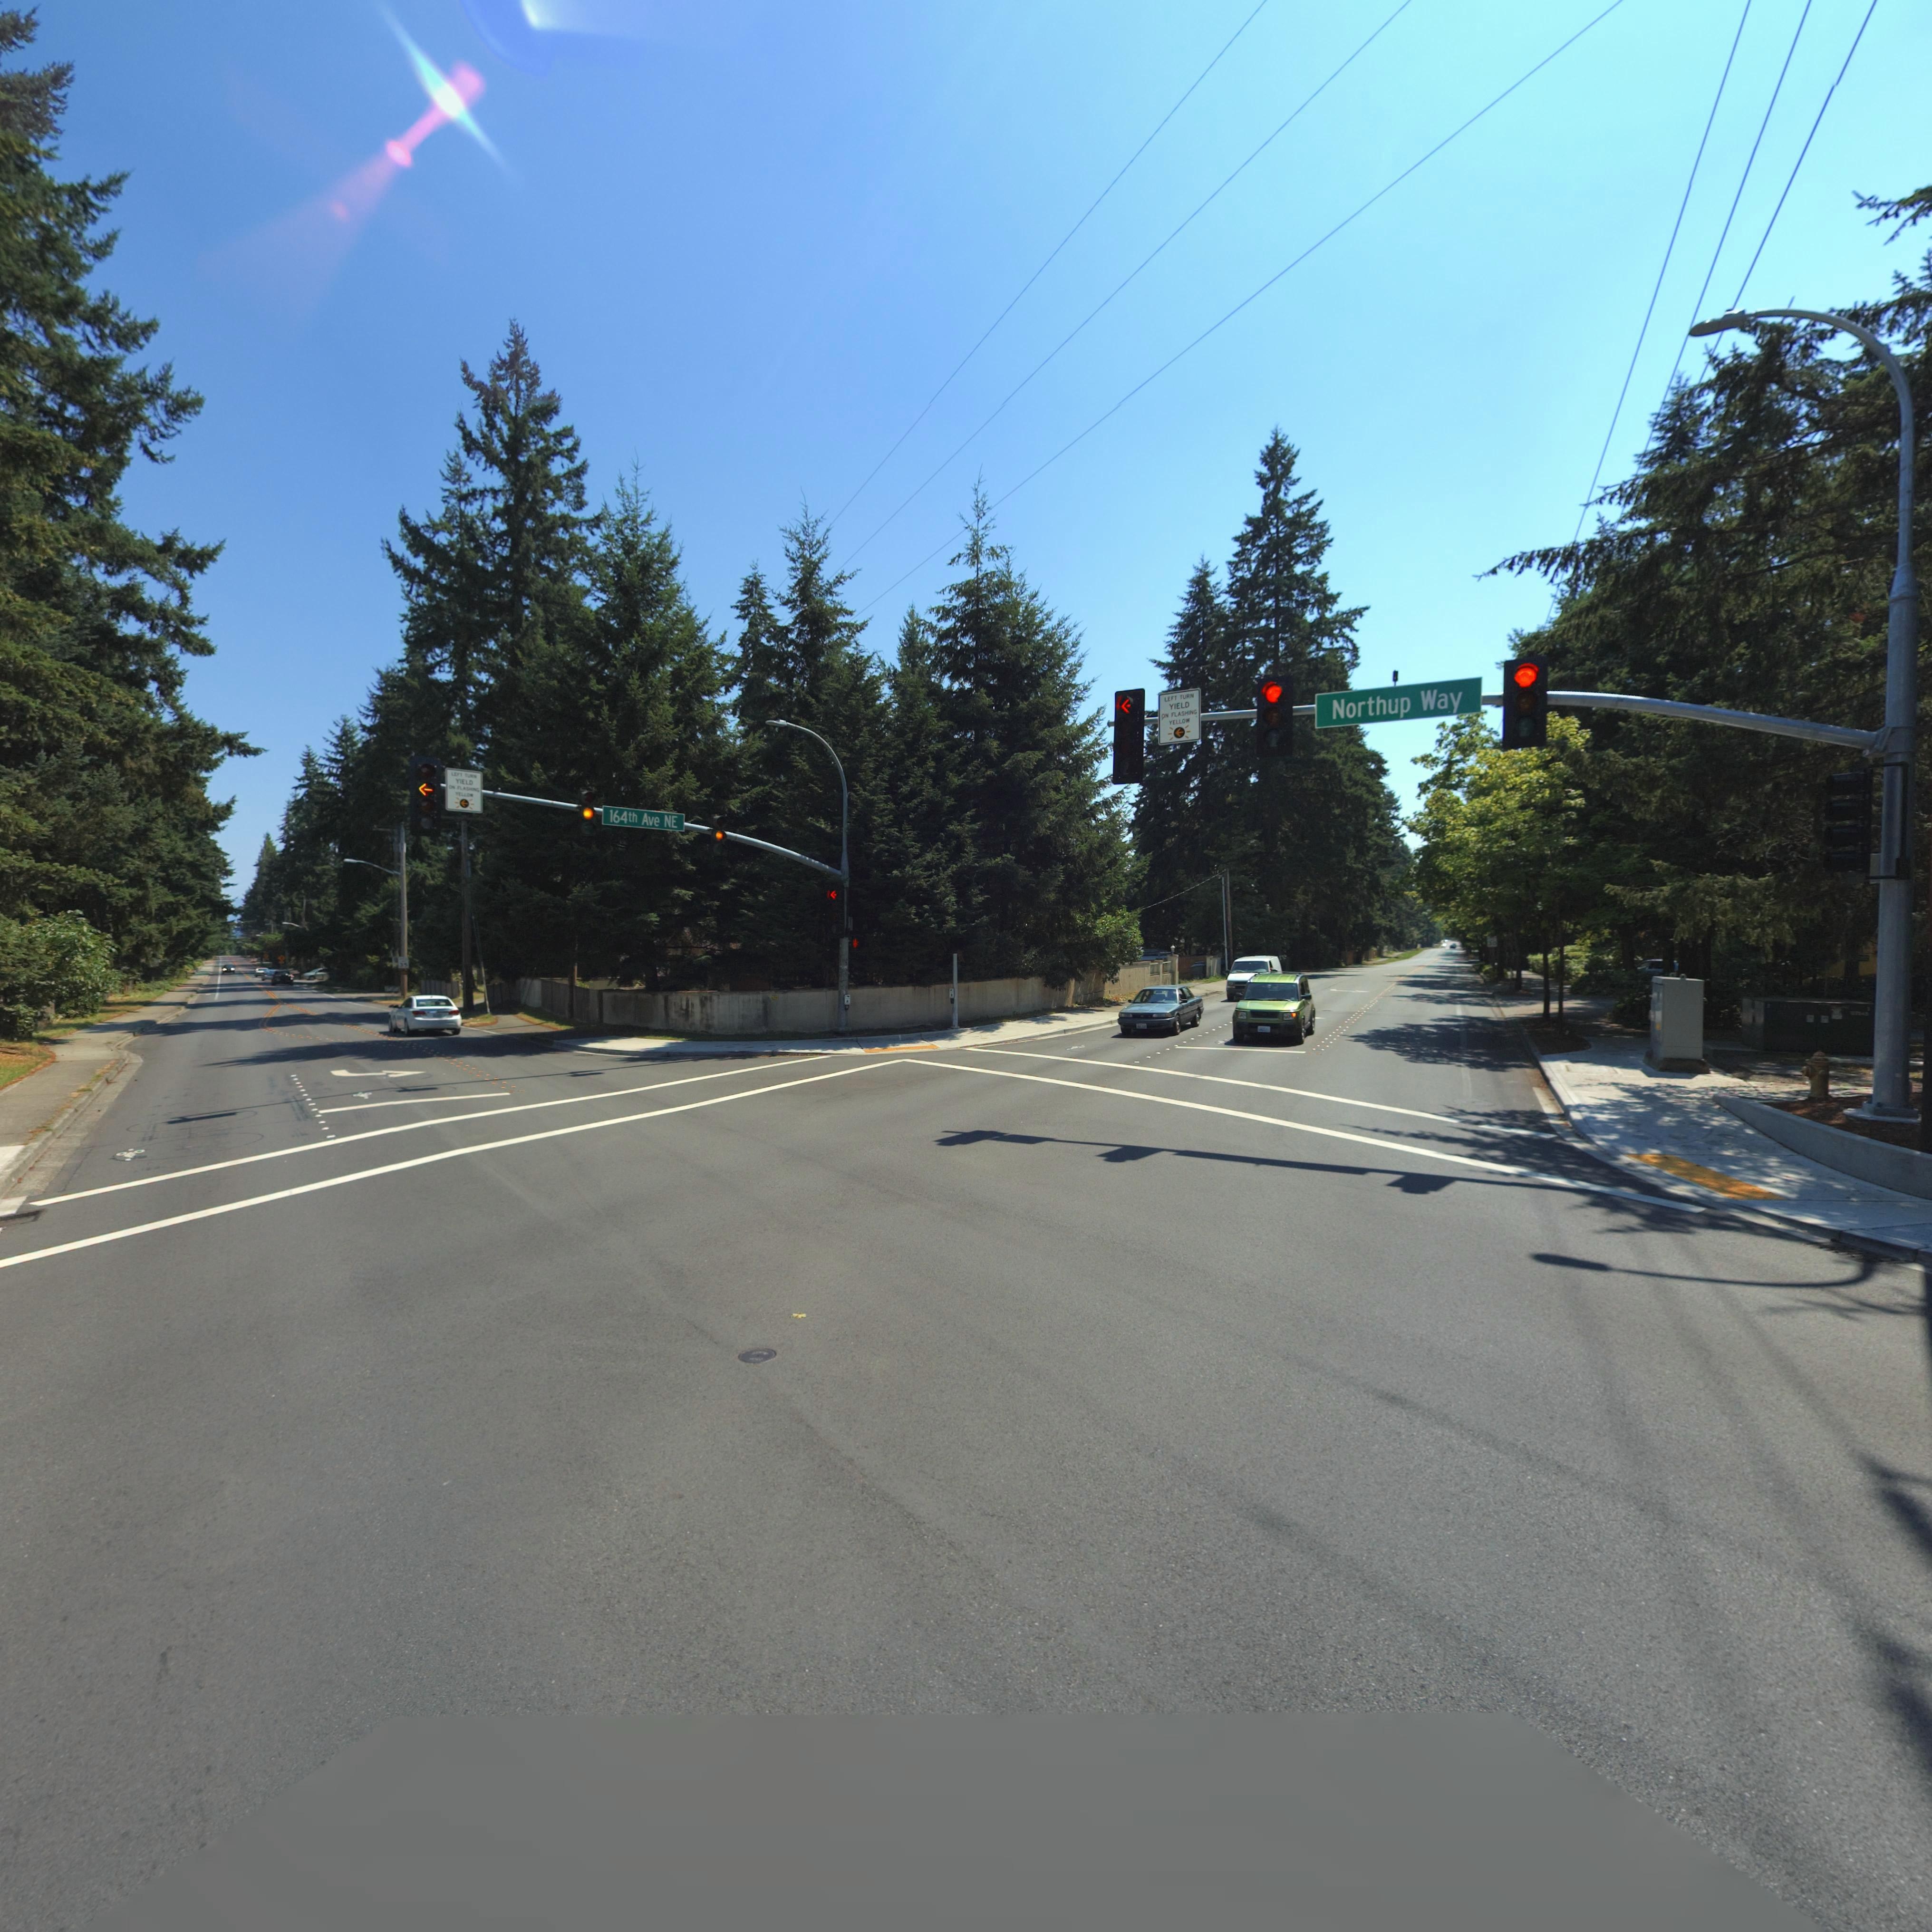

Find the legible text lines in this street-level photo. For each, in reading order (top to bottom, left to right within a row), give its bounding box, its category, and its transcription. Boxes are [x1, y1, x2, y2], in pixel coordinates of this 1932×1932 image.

[1333, 687, 1464, 721] StreetName: Northup Way
[609, 808, 678, 829] StreetName: 164th Ave NE